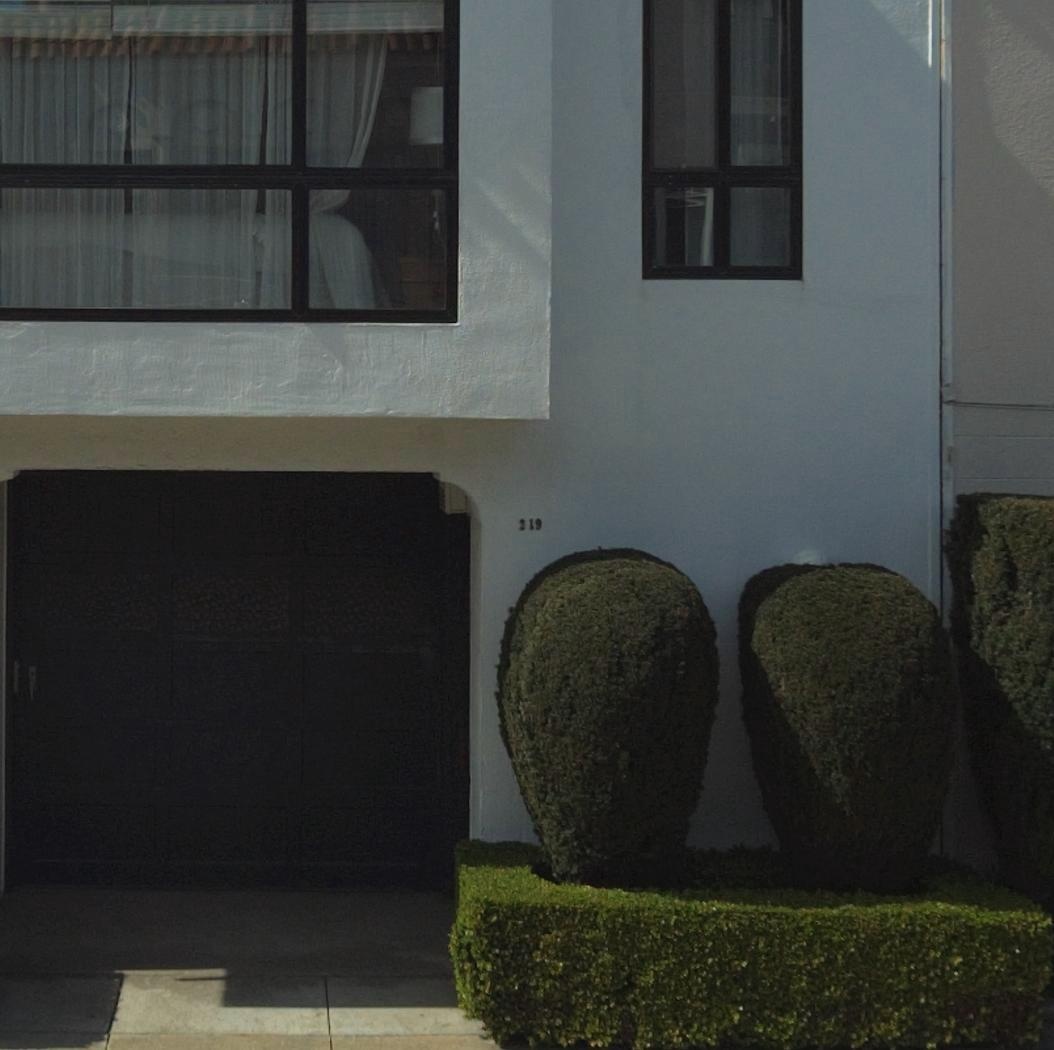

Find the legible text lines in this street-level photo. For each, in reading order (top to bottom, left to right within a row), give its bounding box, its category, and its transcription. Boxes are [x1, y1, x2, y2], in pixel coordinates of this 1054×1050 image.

[516, 515, 544, 533] StreetNumber: 219